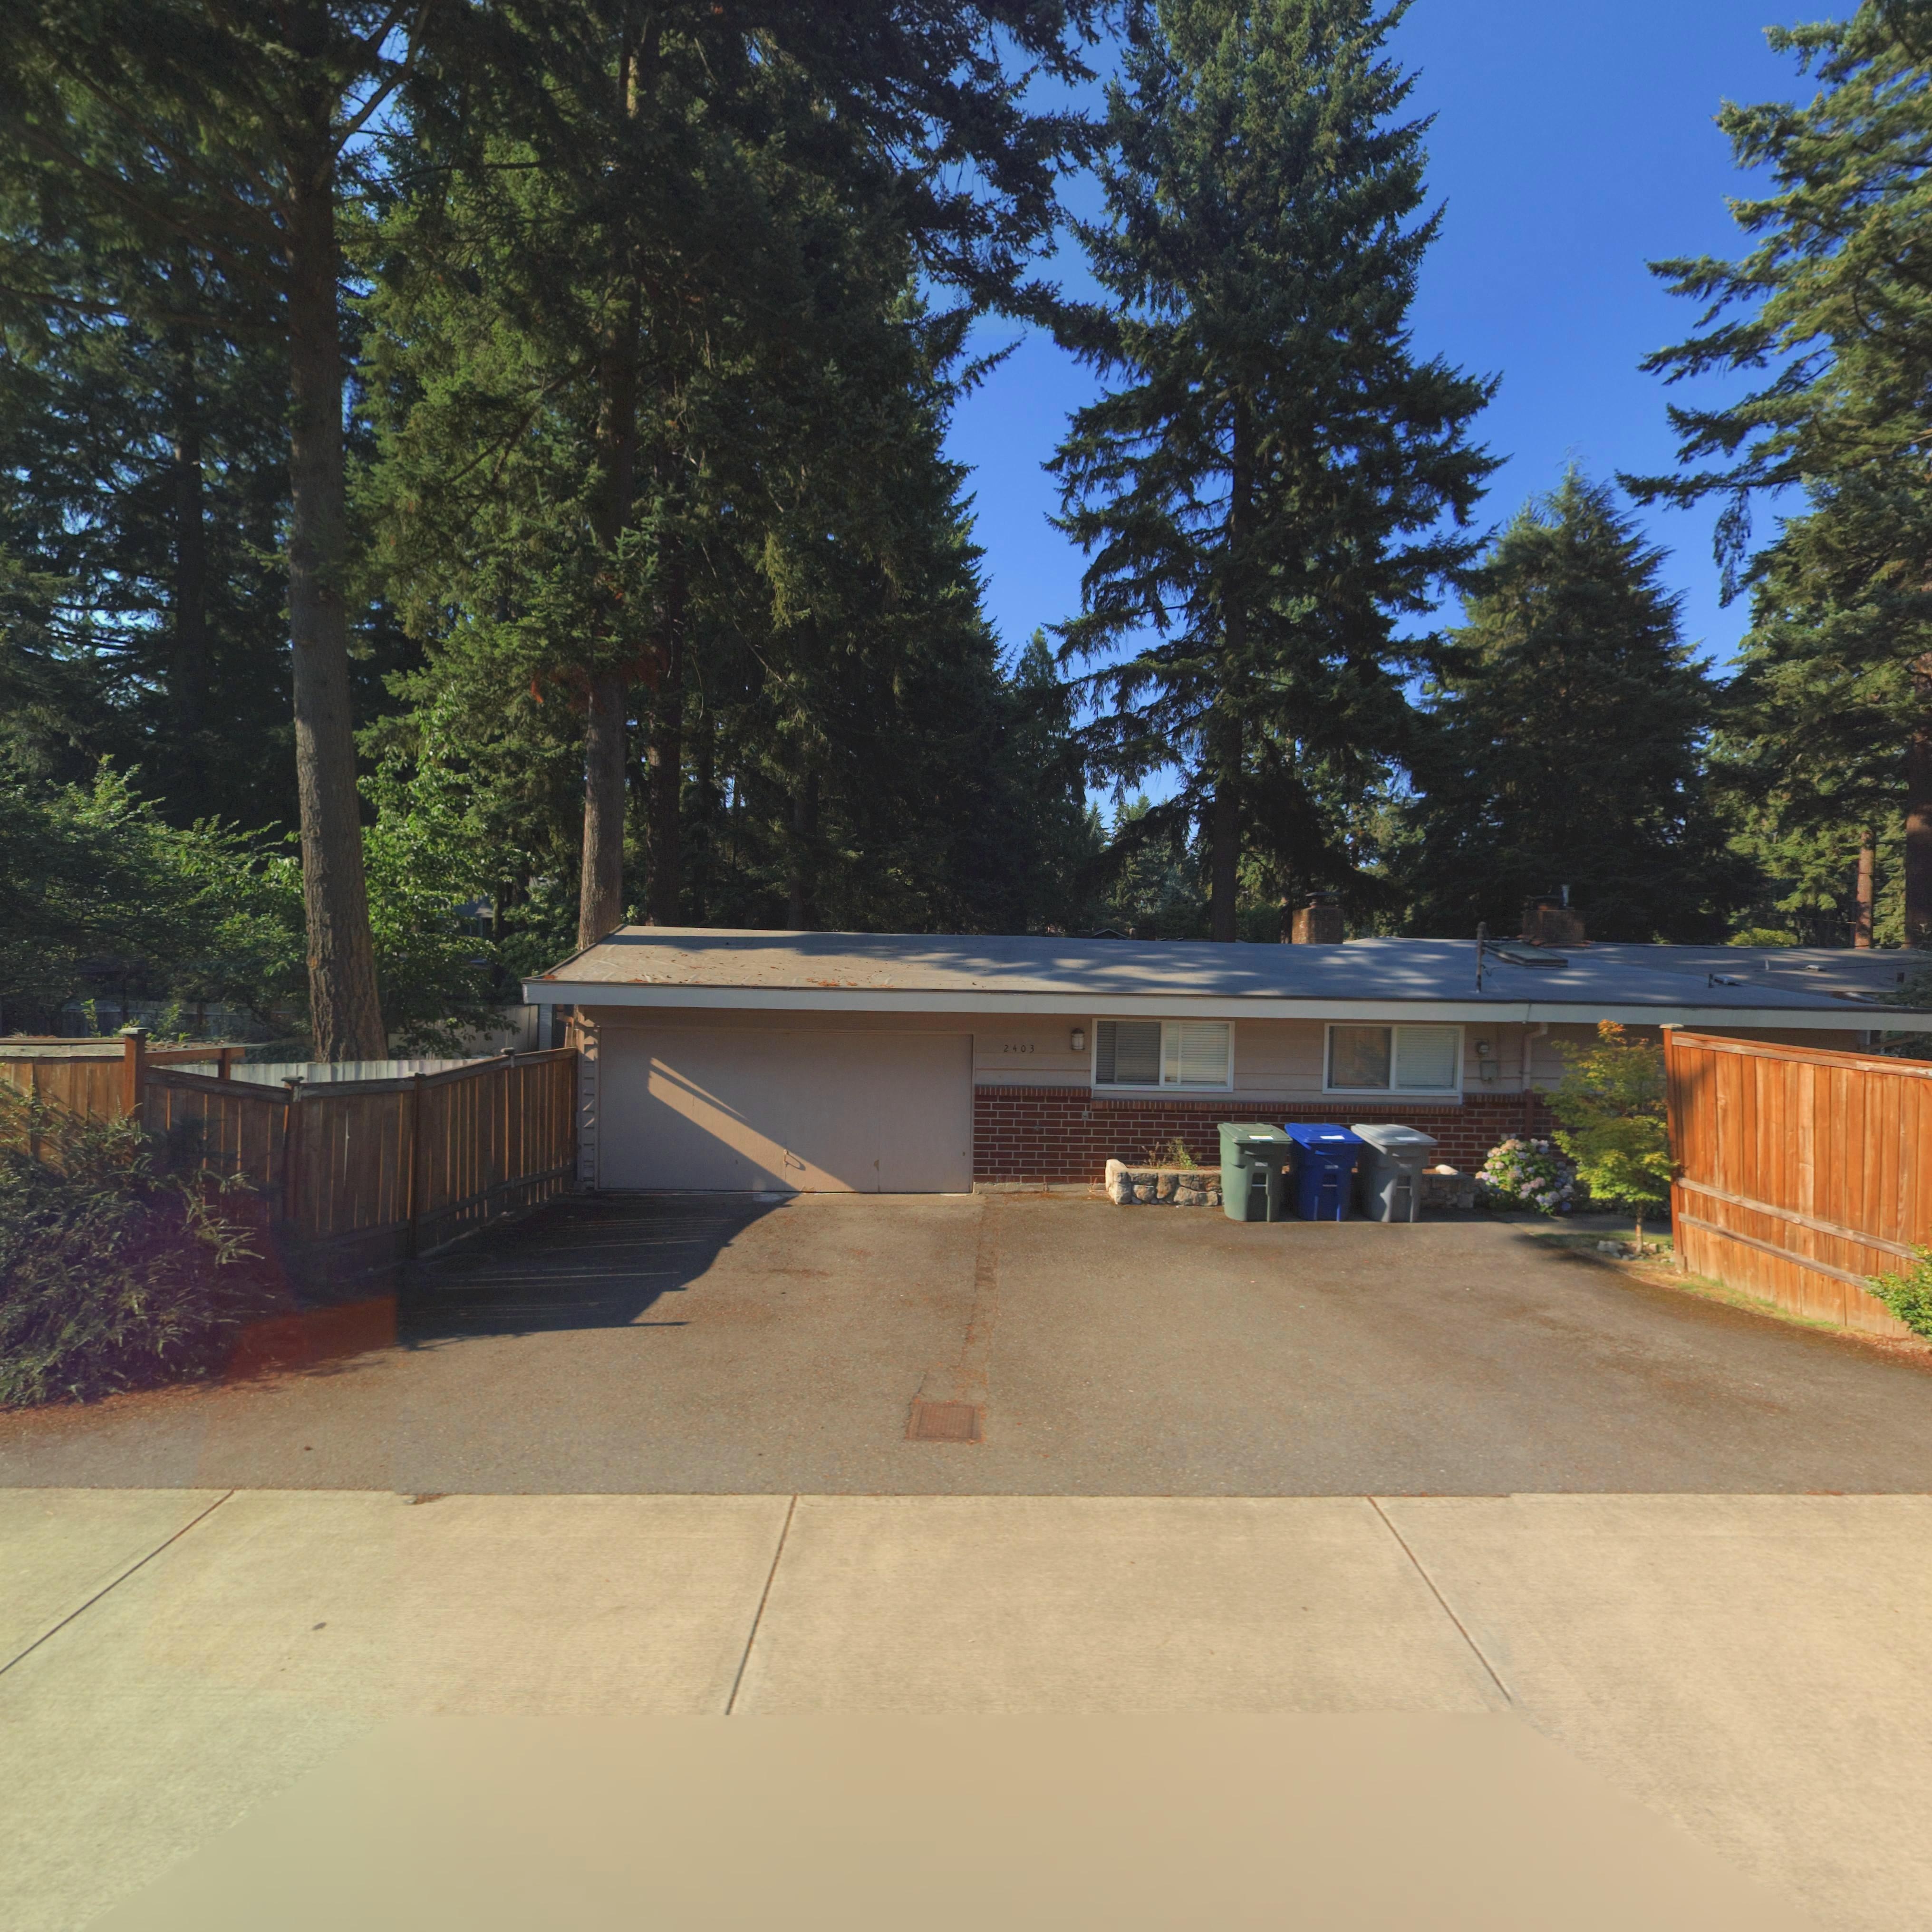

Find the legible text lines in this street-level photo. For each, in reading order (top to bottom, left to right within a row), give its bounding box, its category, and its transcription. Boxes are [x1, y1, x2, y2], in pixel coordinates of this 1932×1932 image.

[1004, 1043, 1034, 1053] StreetNumber: 2403